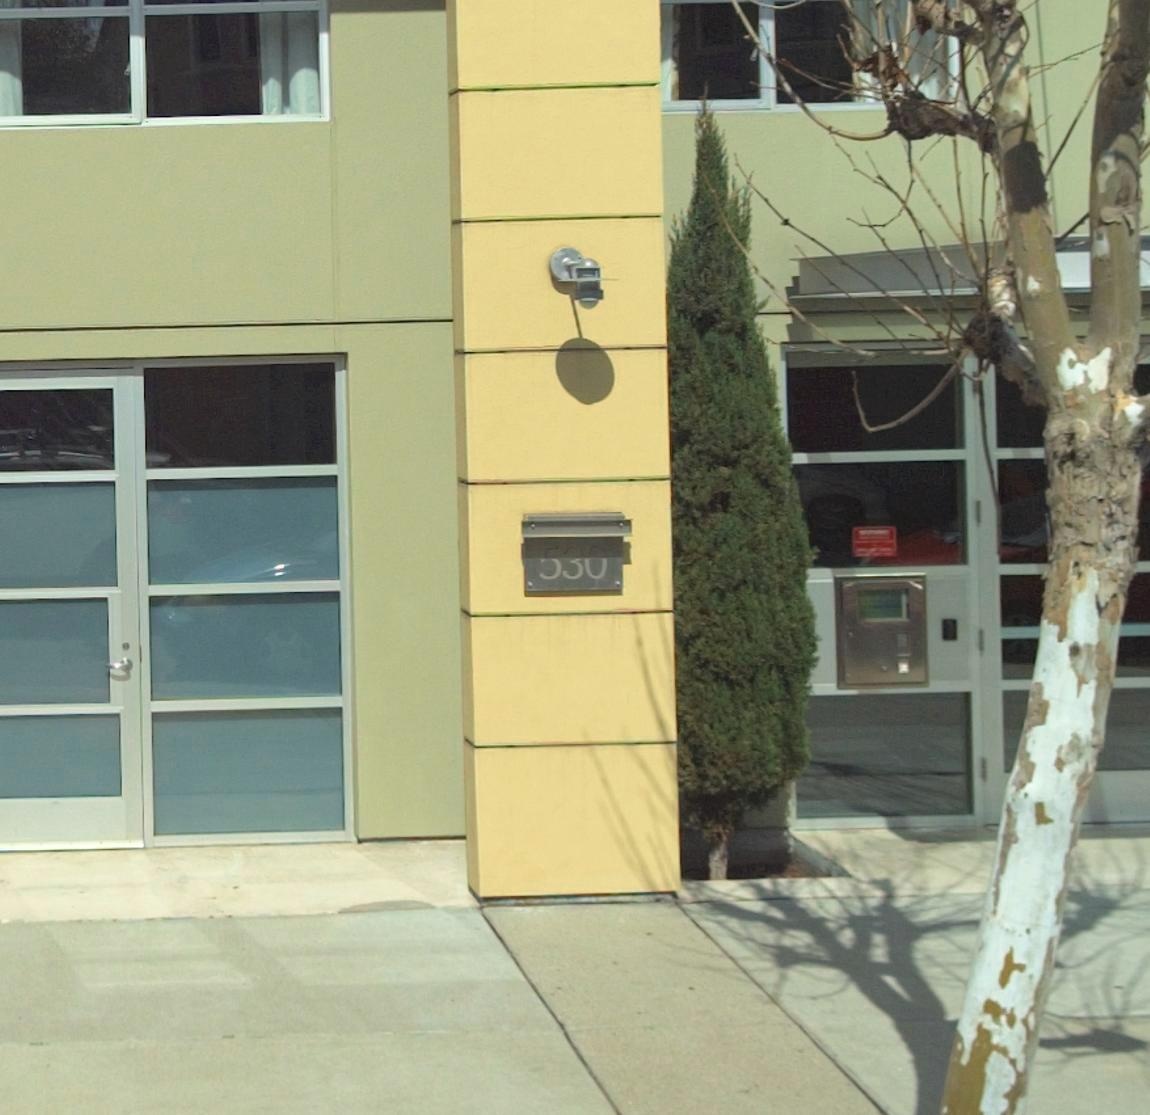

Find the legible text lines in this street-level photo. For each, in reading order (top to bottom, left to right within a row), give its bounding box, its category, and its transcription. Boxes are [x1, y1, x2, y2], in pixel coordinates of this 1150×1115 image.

[537, 542, 608, 582] StreetNumber: 530